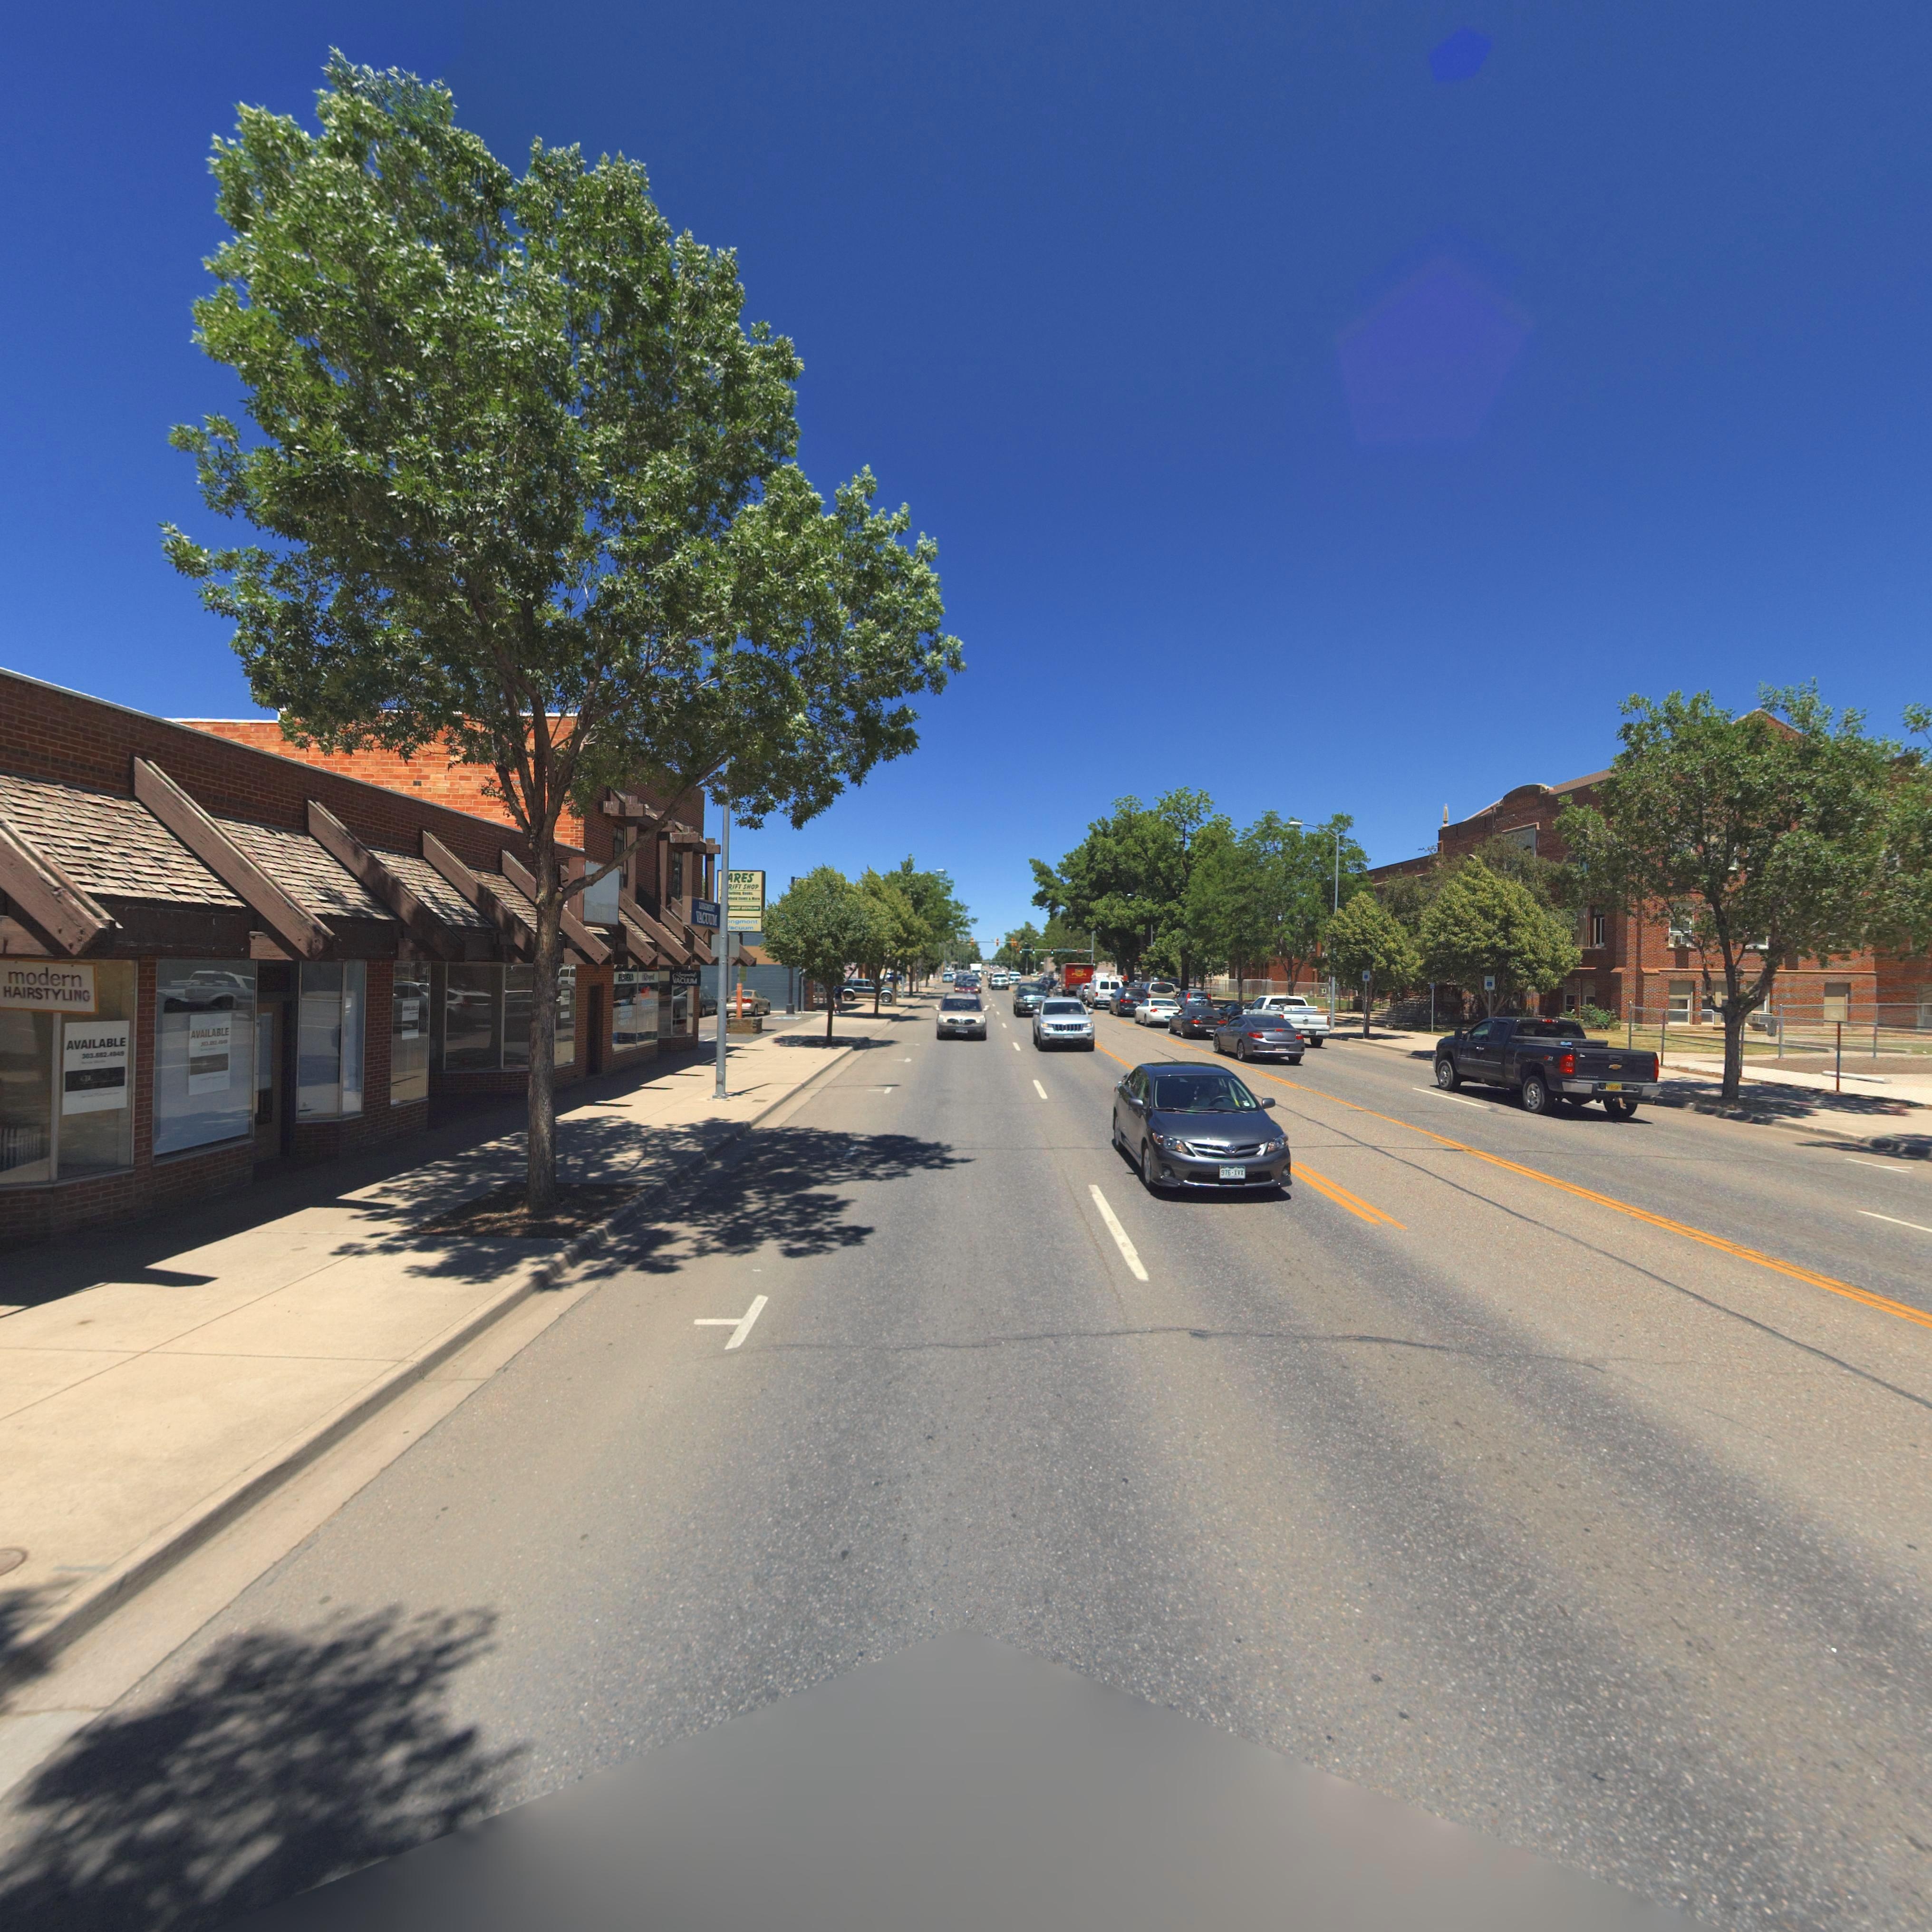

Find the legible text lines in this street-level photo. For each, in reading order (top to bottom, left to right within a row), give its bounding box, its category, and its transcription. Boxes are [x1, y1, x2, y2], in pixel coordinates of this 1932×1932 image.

[733, 873, 753, 883] BusinessName: RES
[728, 884, 759, 889] BusinessName: RIFT SHOP
[698, 901, 715, 912] BusinessName: LO*****T
[696, 911, 717, 926] BusinessName: VACUUM
[730, 919, 758, 925] BusinessName: ngmont
[730, 926, 753, 930] BusinessName: acuum
[8, 966, 82, 987] BusinessName: modern
[672, 971, 697, 977] BusinessName: Lo*g***t
[673, 977, 697, 984] BusinessName: VACUUM
[4, 985, 90, 1002] BusinessName: HAIRSTYLING